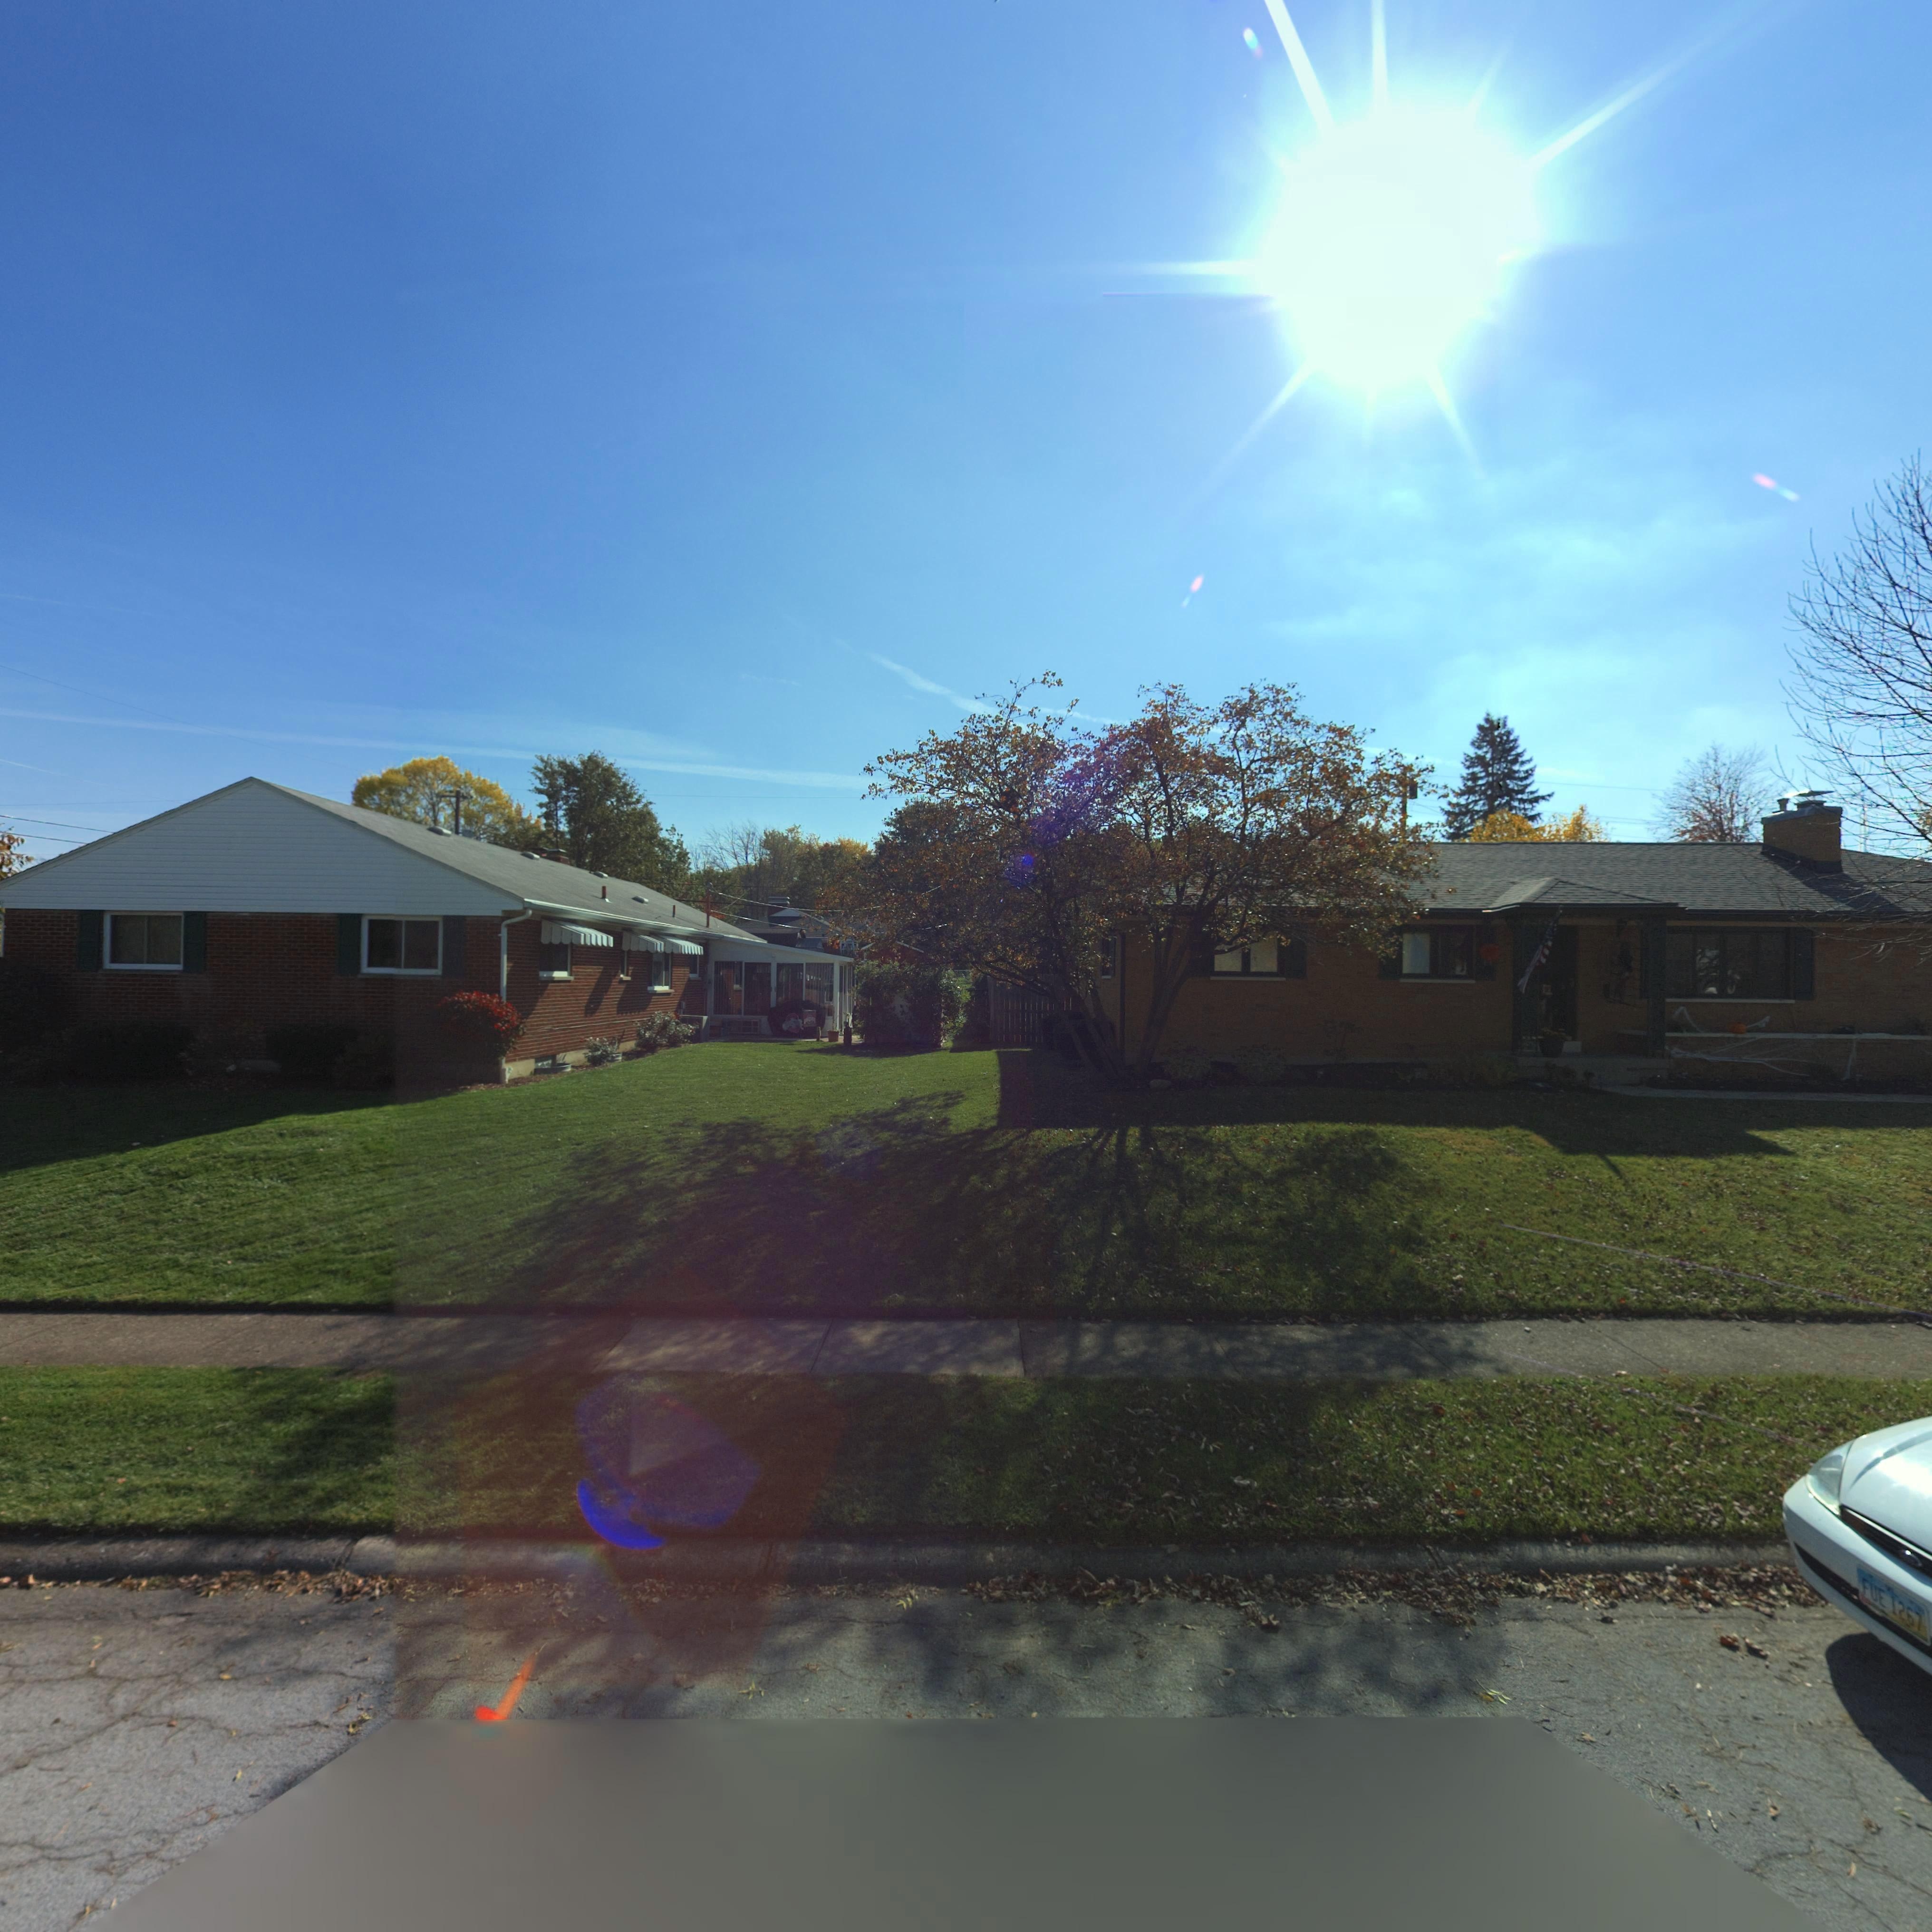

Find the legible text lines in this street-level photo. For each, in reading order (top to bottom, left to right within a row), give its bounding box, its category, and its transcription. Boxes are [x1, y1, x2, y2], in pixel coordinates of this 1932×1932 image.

[1859, 1574, 1925, 1634] None: FUE 1267